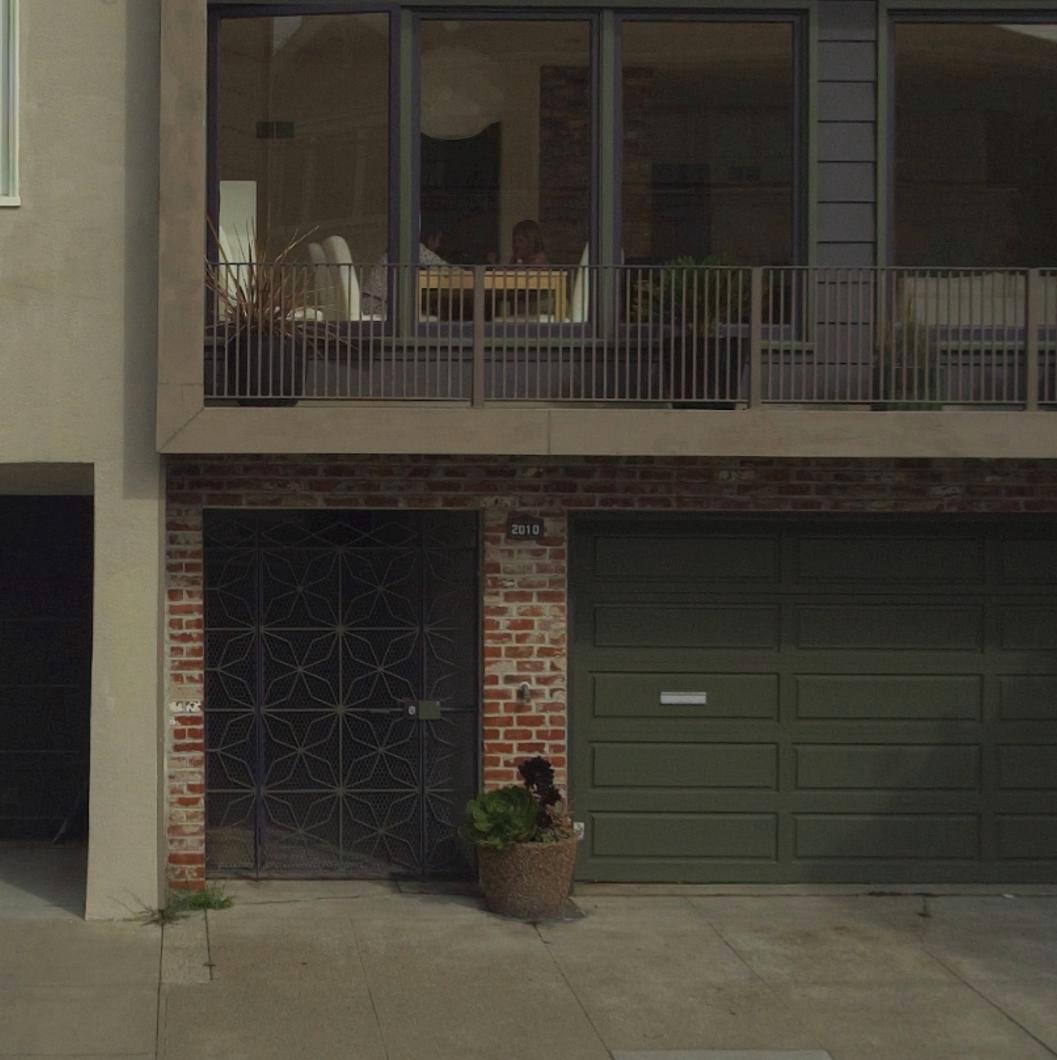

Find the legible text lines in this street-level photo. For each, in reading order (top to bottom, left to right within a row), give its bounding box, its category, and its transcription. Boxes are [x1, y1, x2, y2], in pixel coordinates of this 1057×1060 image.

[510, 523, 540, 535] StreetNumber: 2010